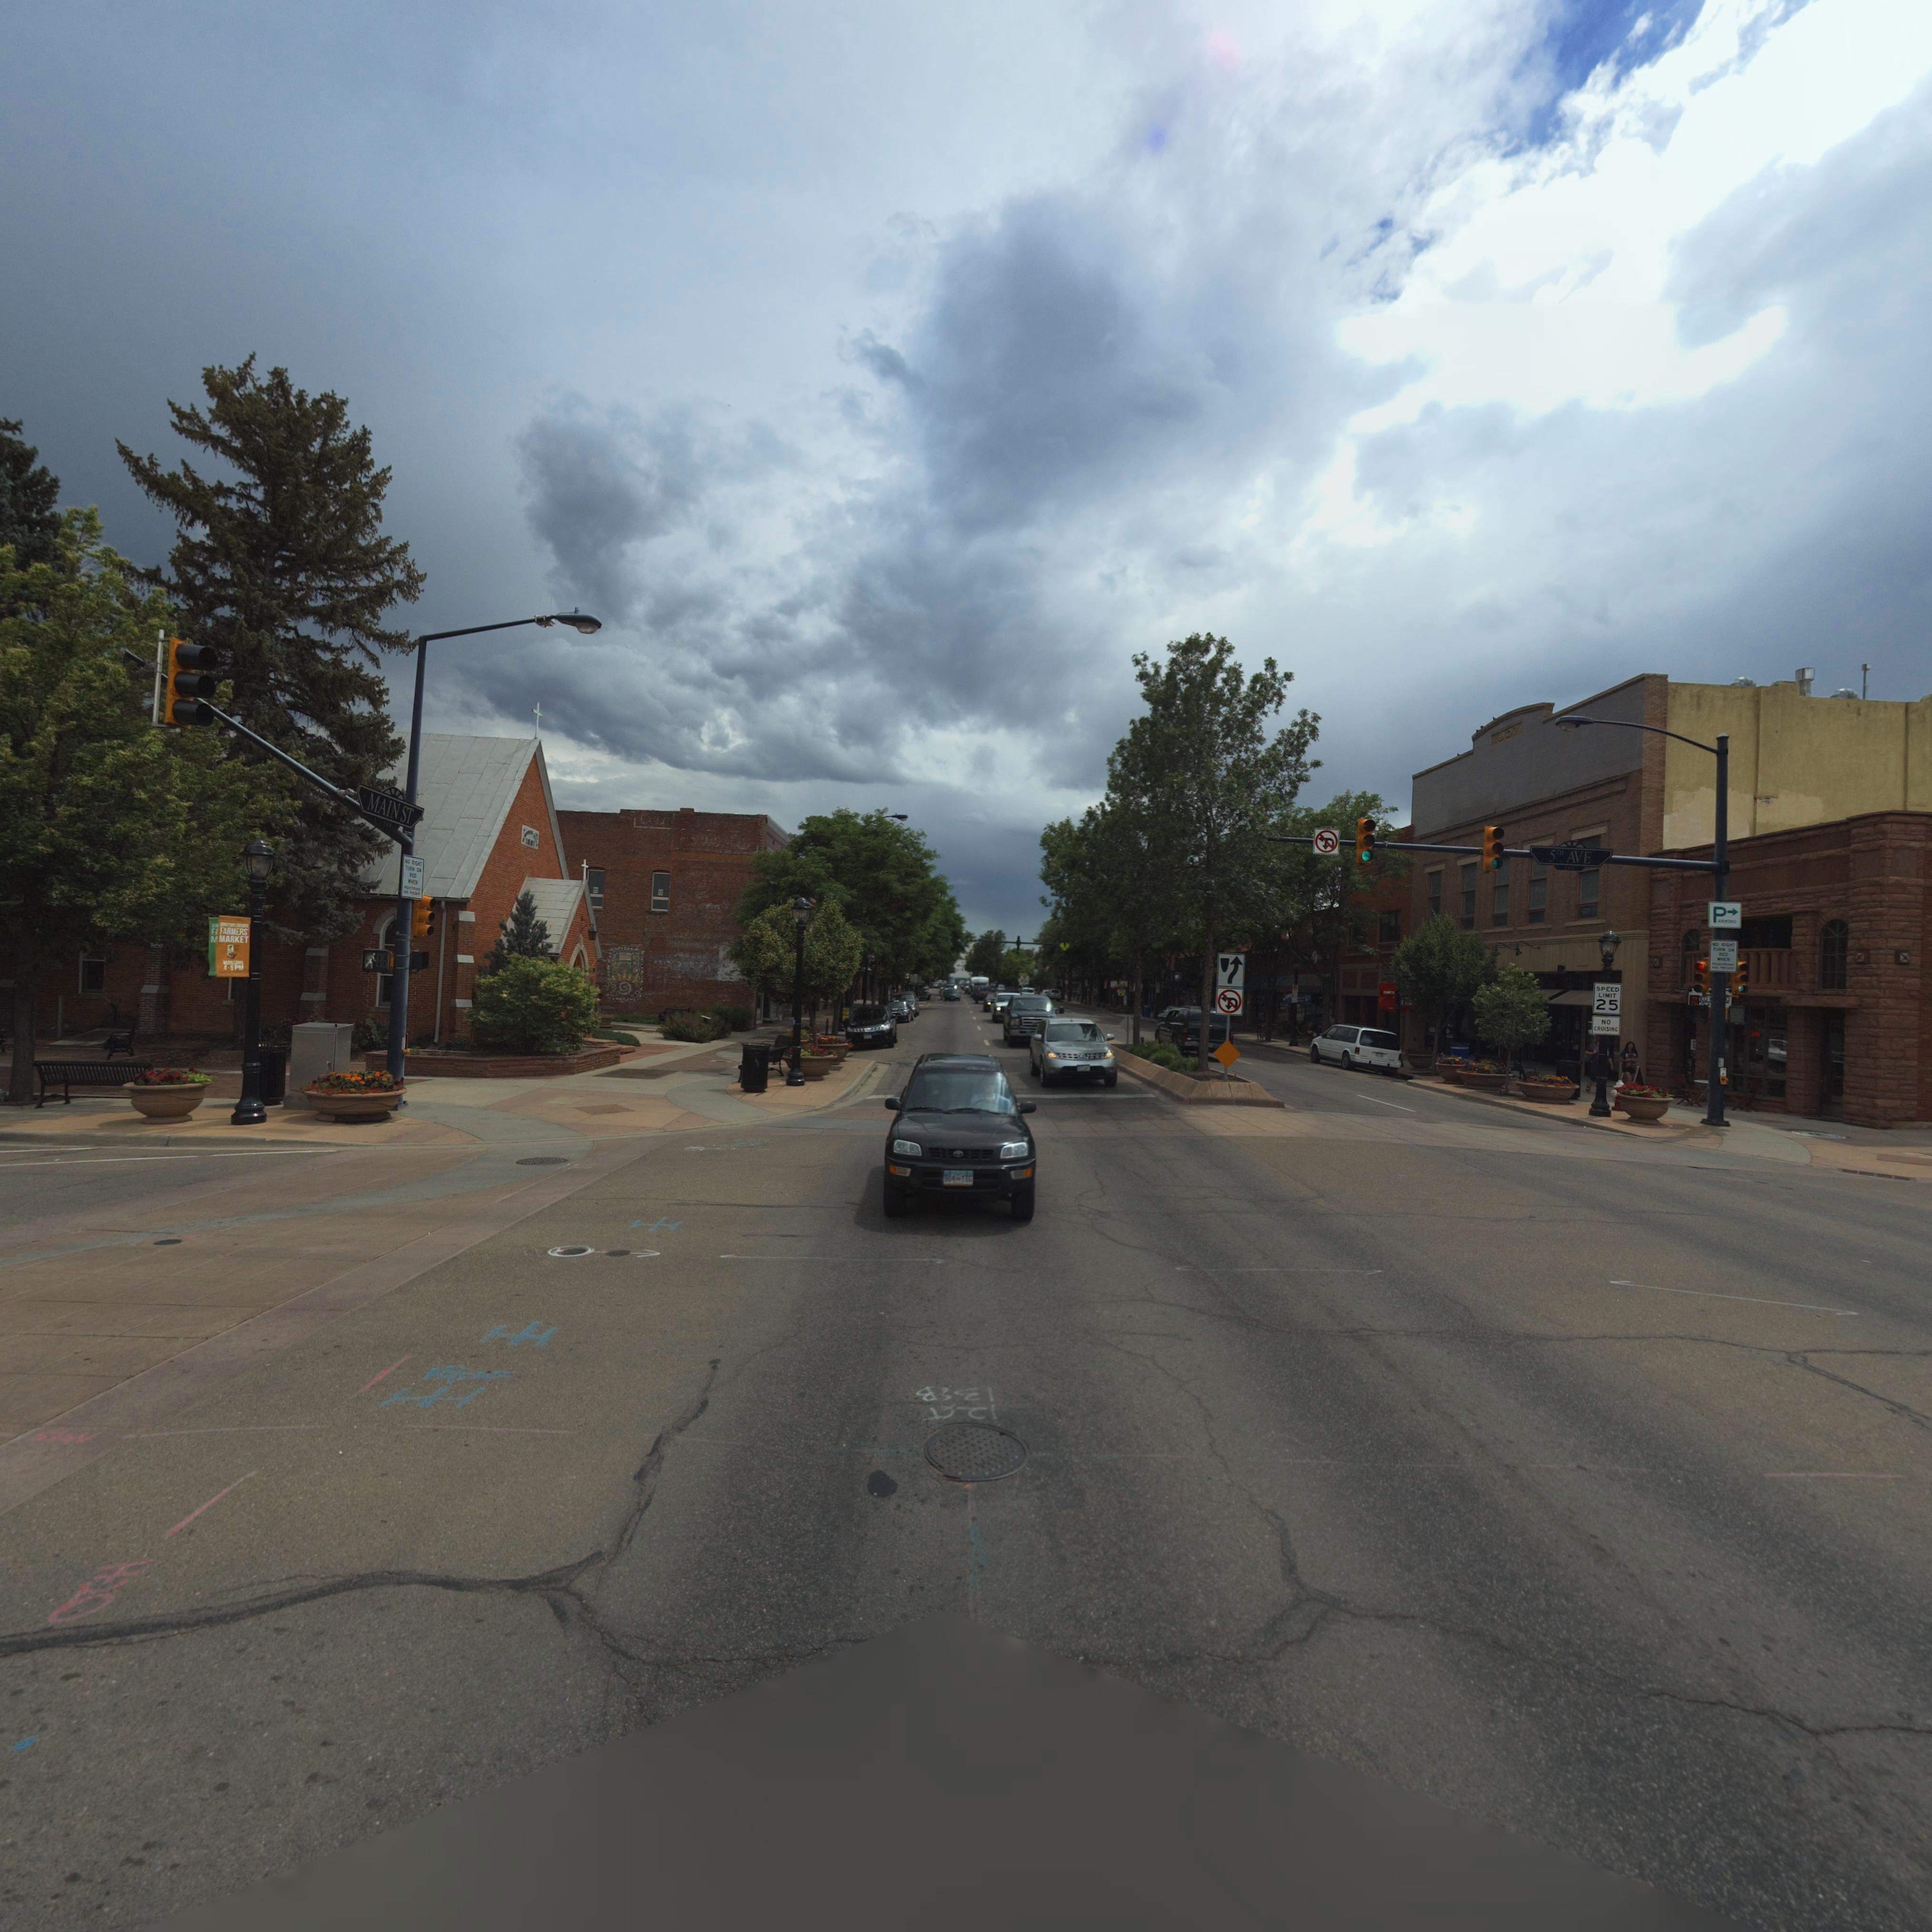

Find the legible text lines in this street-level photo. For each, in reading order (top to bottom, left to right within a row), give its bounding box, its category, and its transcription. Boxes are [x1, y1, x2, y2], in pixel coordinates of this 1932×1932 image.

[366, 792, 415, 826] StreetName: MAIN ST
[525, 837, 534, 847] StreetNumber: 1881
[1548, 849, 1592, 864] StreetName: 5TH AVE